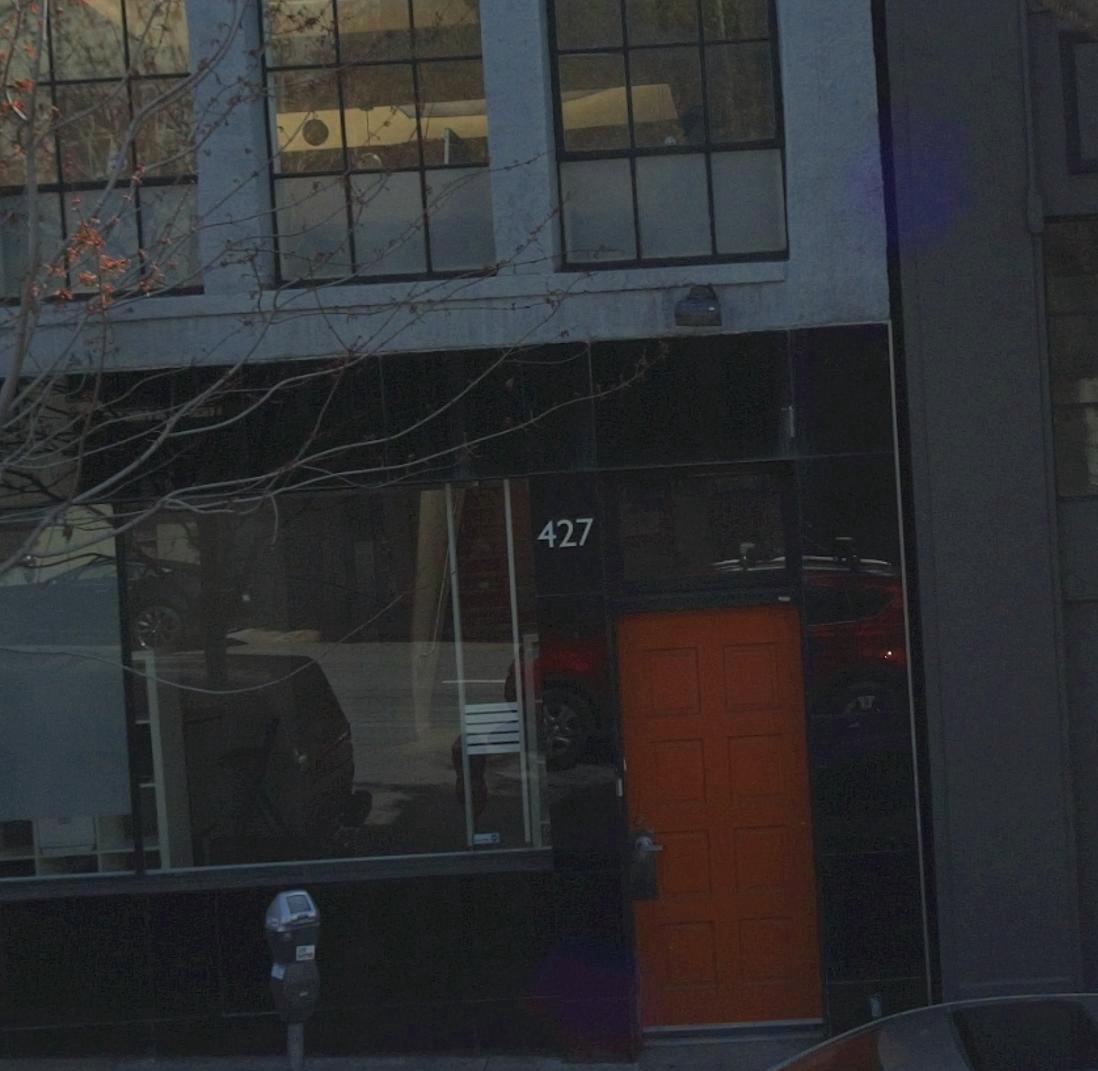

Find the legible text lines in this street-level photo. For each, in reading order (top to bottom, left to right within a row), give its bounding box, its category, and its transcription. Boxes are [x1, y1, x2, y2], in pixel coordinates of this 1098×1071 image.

[530, 513, 601, 554] StreetNumber: 427